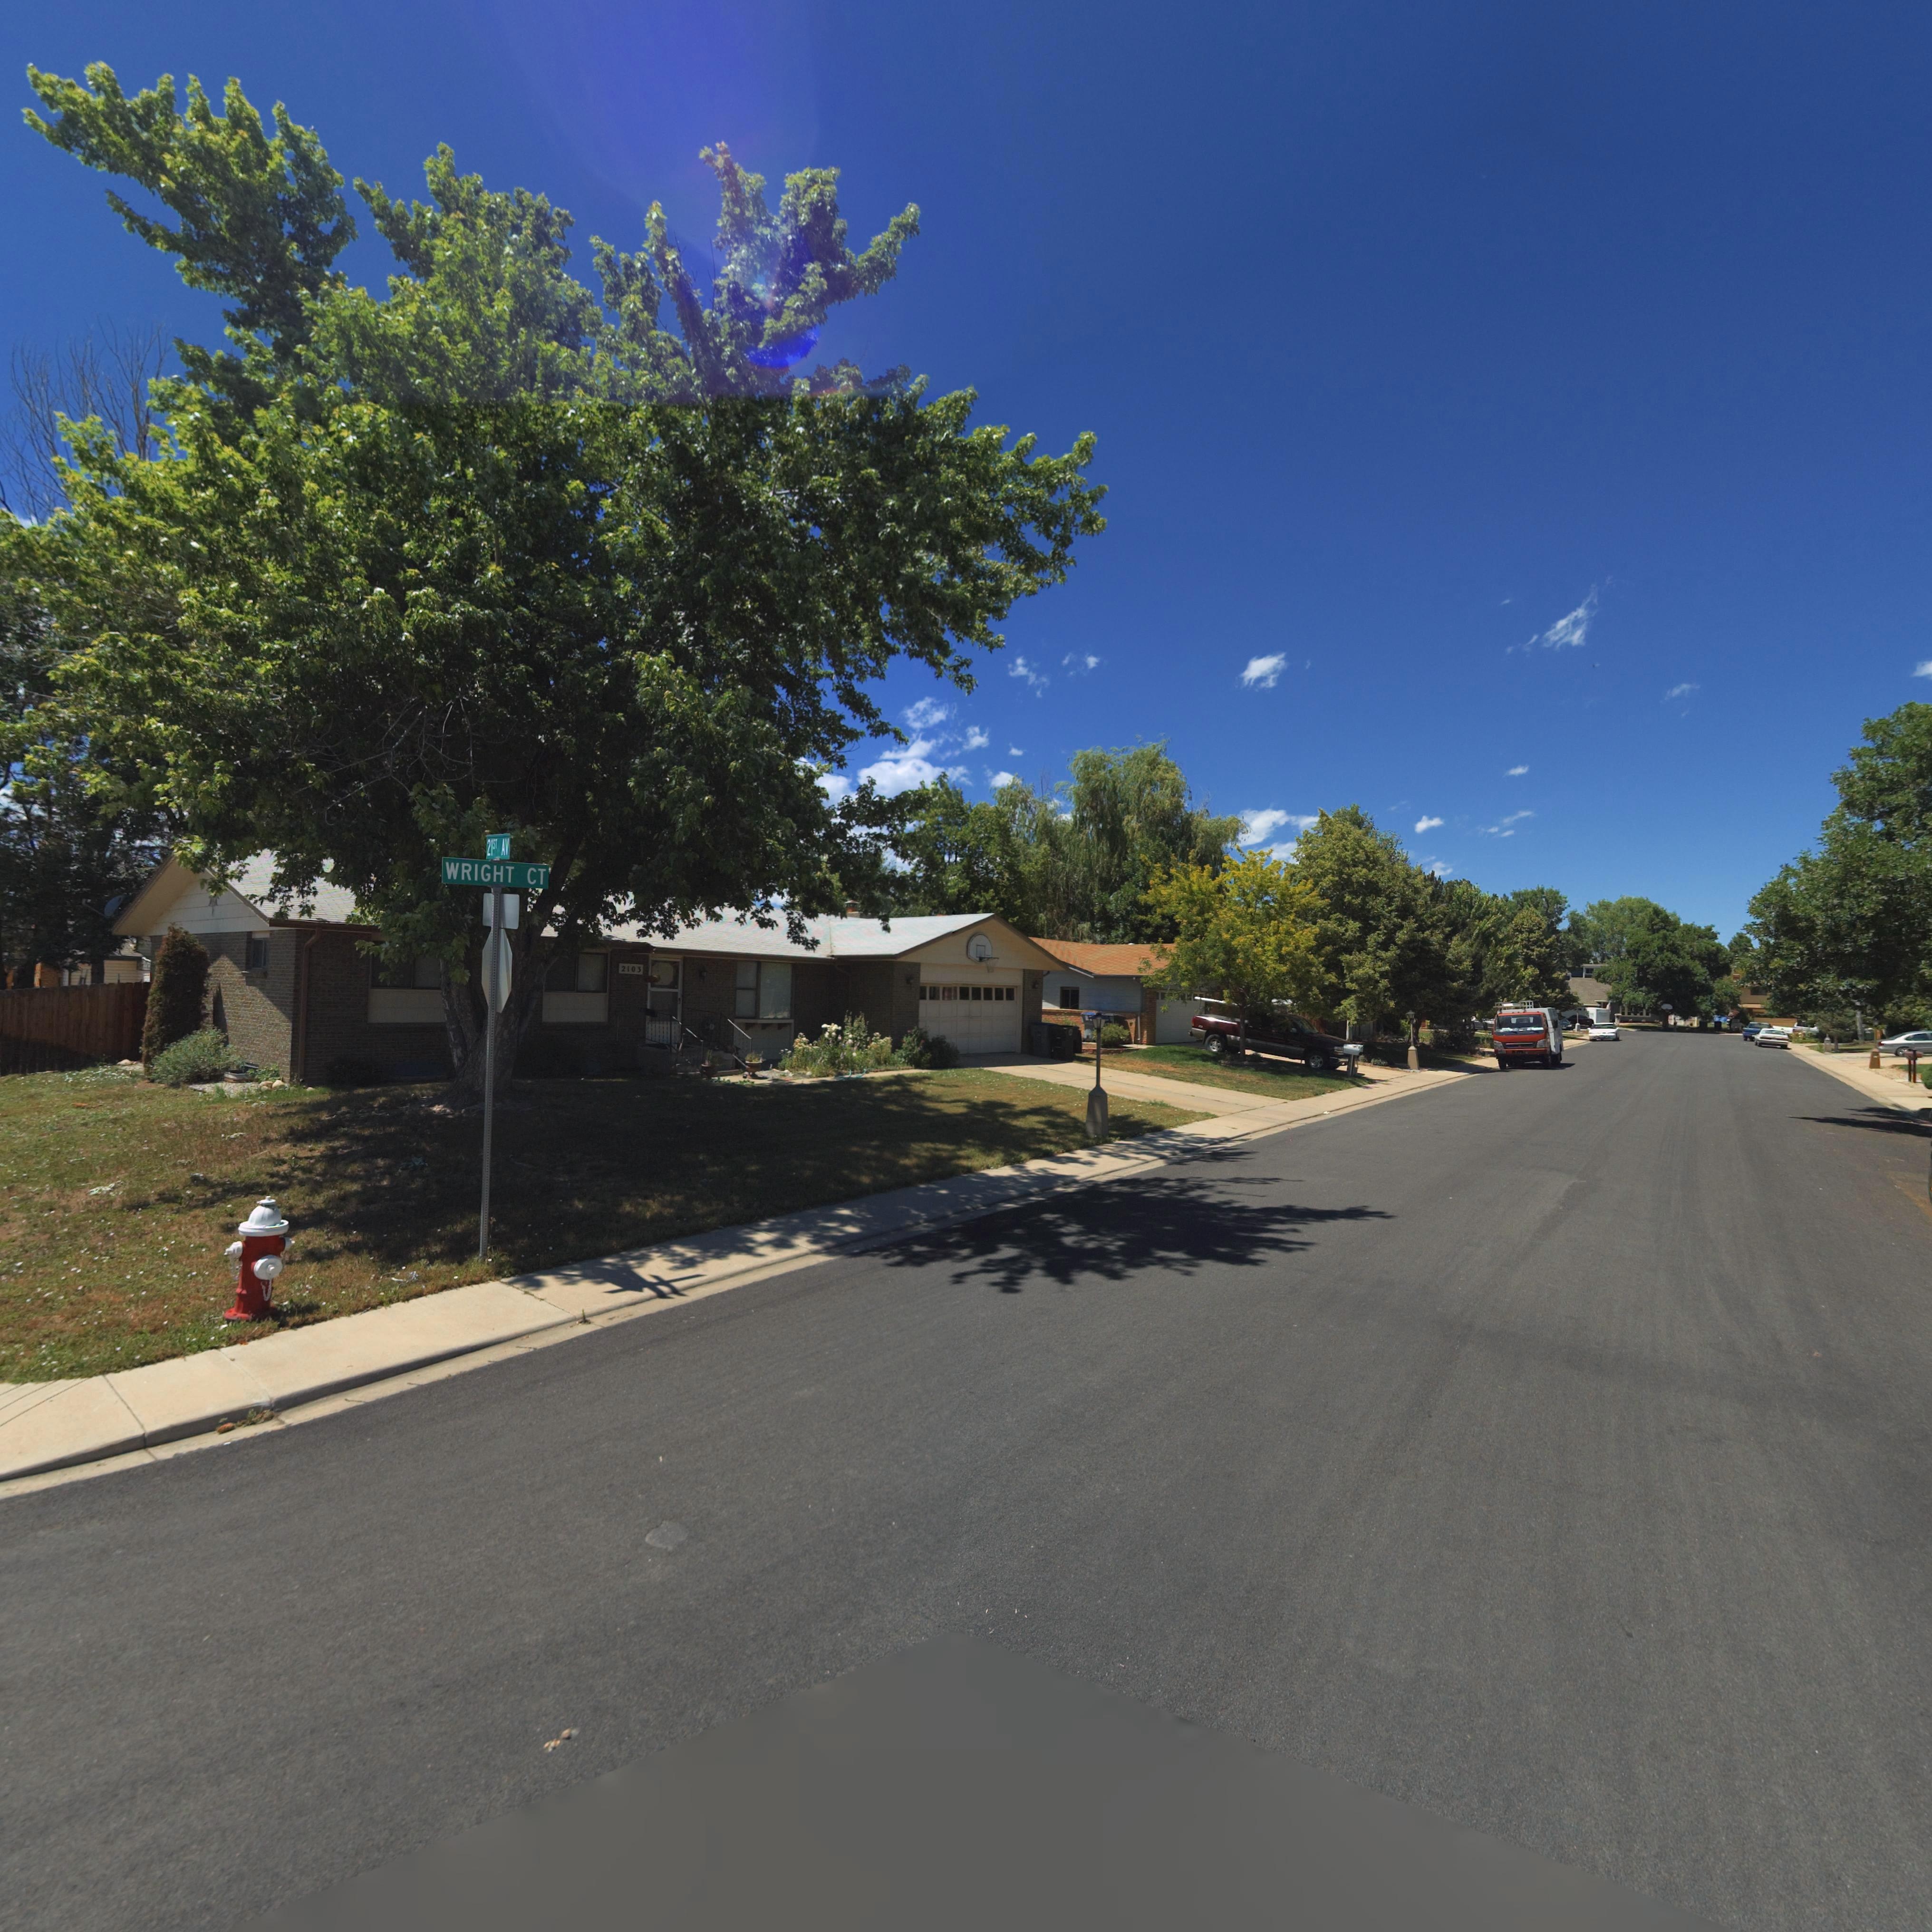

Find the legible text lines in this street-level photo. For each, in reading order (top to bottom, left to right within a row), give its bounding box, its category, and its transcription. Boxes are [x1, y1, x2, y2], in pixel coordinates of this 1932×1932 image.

[486, 837, 510, 856] StreetName: 21ST AV
[444, 861, 547, 886] StreetName: WRIGHT CT
[620, 965, 641, 973] StreetNumber: 2103